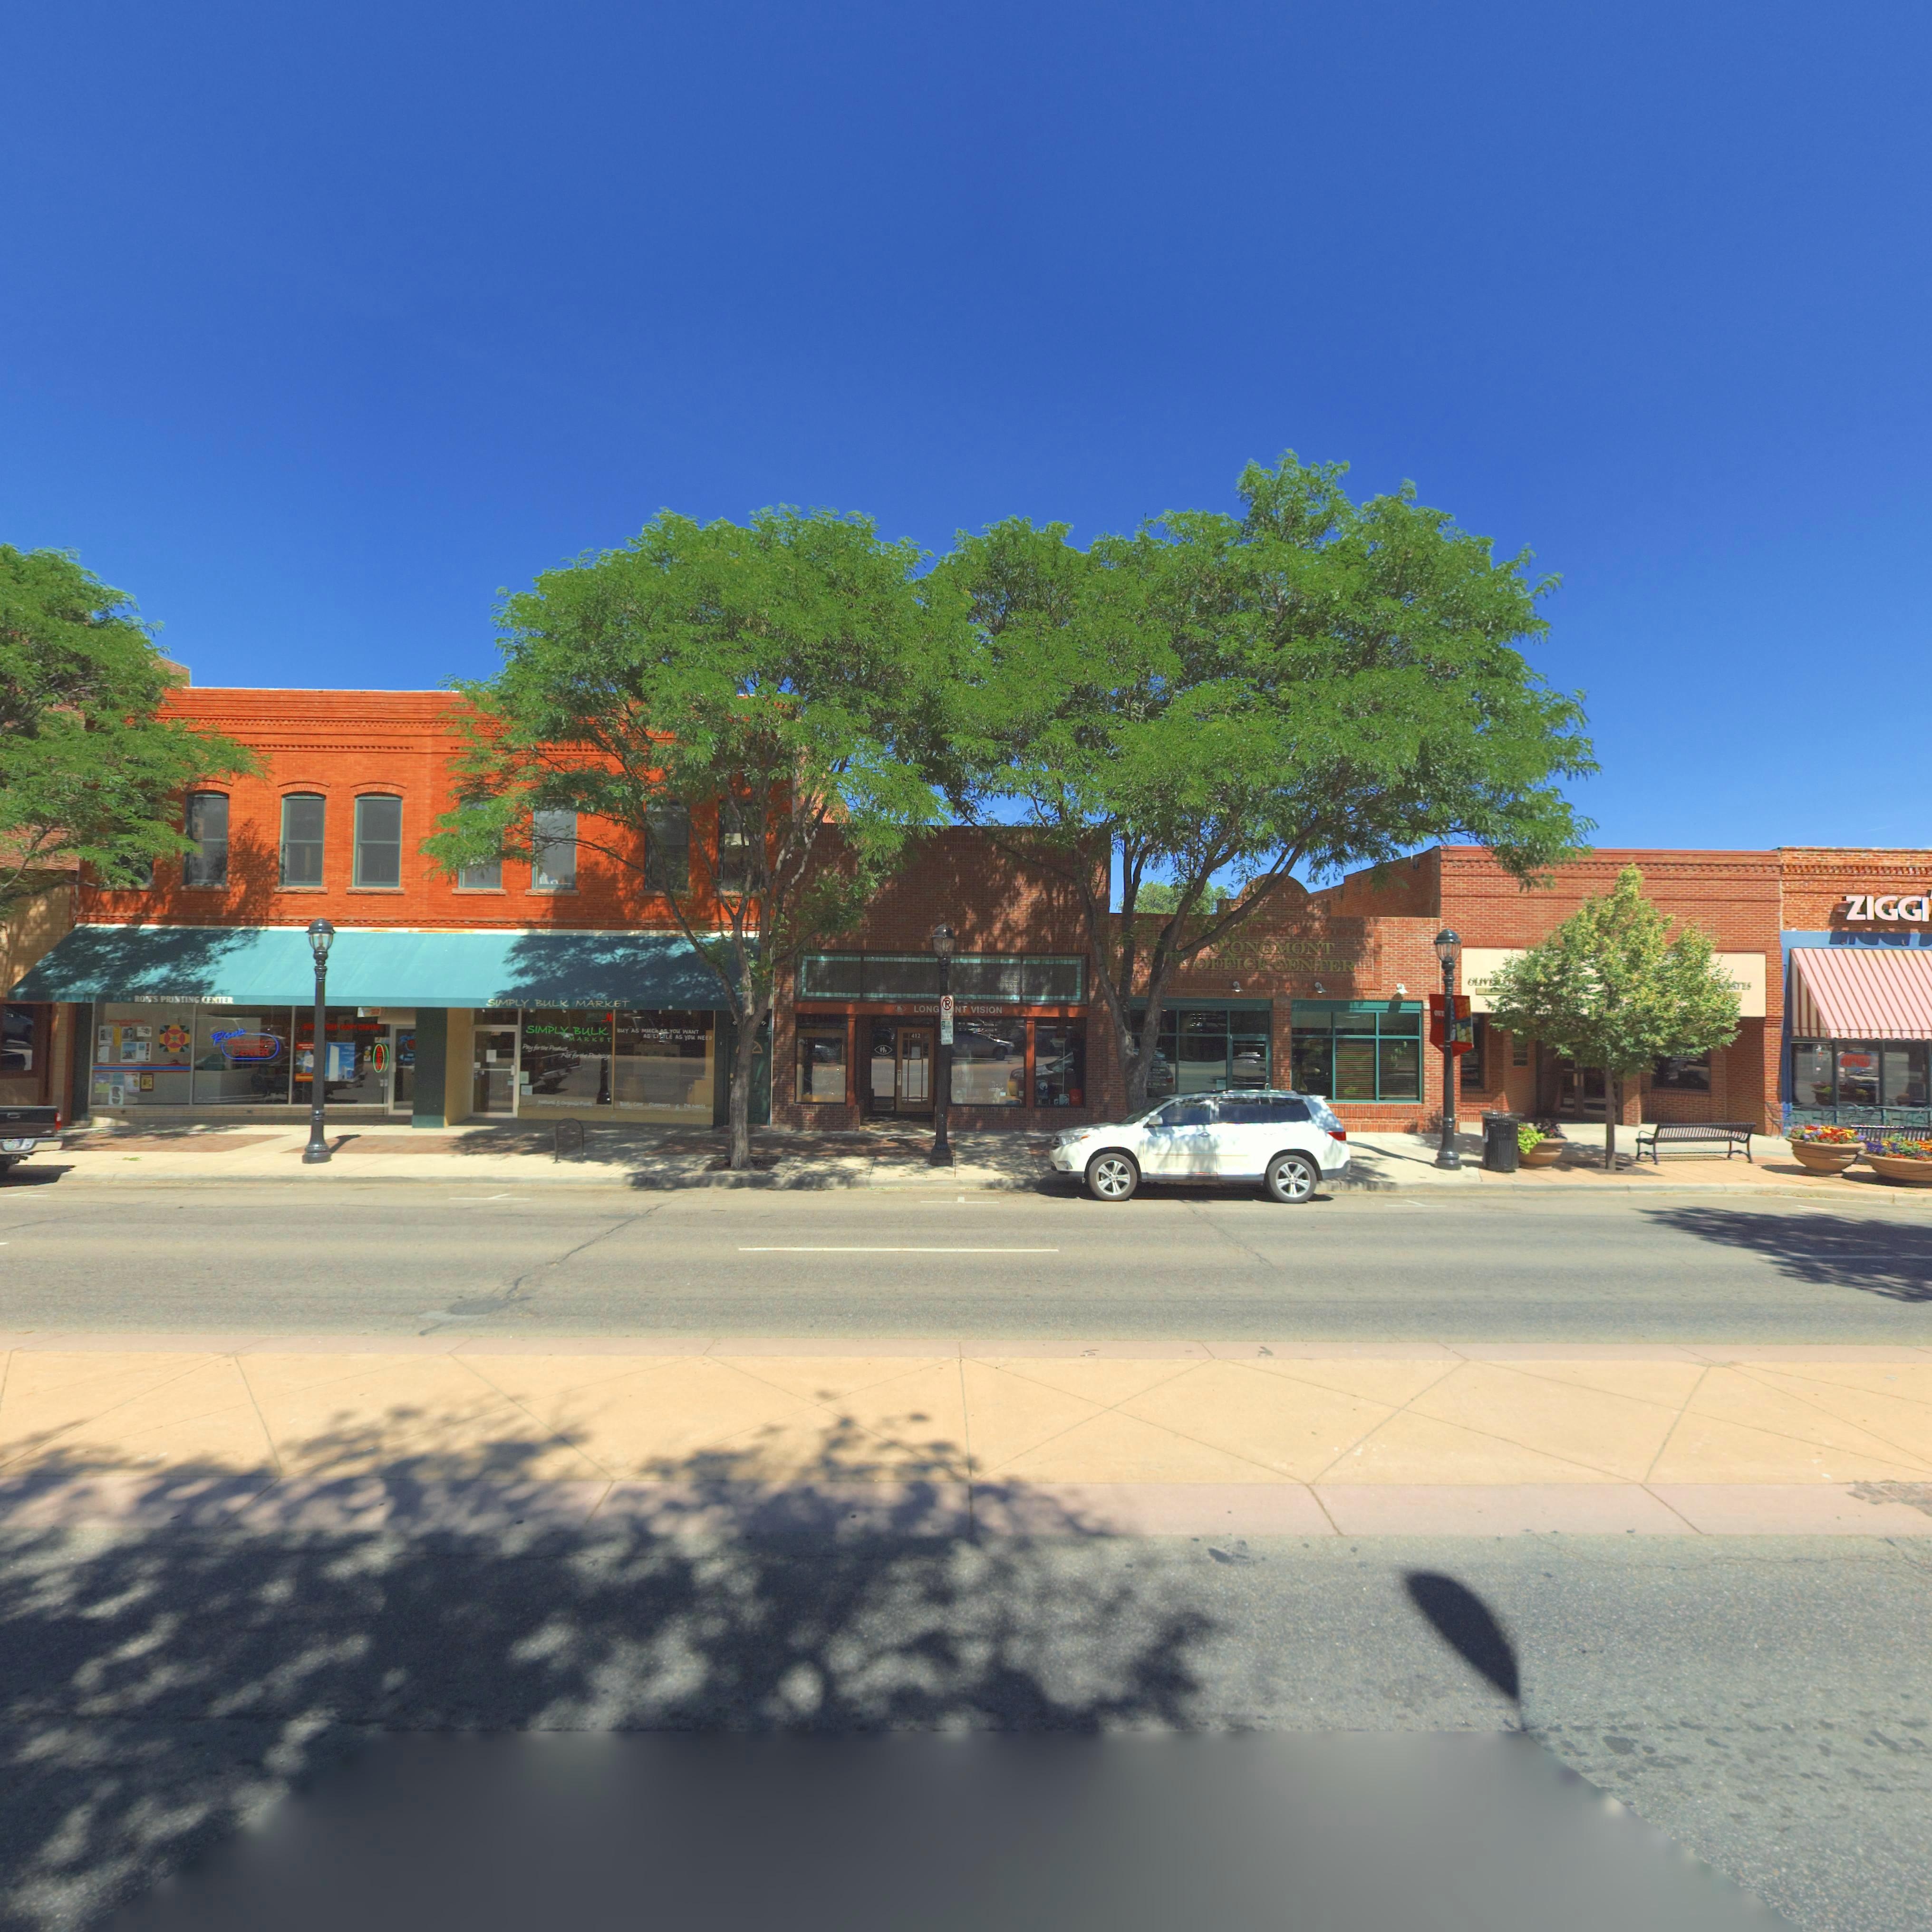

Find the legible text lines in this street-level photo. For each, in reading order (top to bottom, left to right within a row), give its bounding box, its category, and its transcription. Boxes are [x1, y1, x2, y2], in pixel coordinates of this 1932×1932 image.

[1845, 895, 1930, 922] BusinessName: ZIGGI
[1216, 939, 1335, 955] BusinessName: LONGMONT
[1194, 956, 1354, 973] BusinessName: OFFICE CENTER
[1468, 976, 1499, 986] BusinessName: OLIVE
[1732, 980, 1752, 991] BusinessName: ATES
[133, 995, 234, 1004] BusinessName: RON'S PRINTING CENTER
[484, 998, 630, 1008] BusinessName: SIMPLY BULK MARKET
[912, 1005, 1003, 1014] BusinessName: LONG**NT VISION
[209, 1027, 247, 1046] BusinessName: Ron's
[226, 1039, 274, 1047] BusinessName: Printing
[525, 1025, 609, 1040] BusinessName: SIMPLY BULK
[568, 1036, 611, 1042] BusinessName: MARKET
[910, 1033, 920, 1038] StreetNumber: 412
[231, 1048, 270, 1056] BusinessName: CENTER